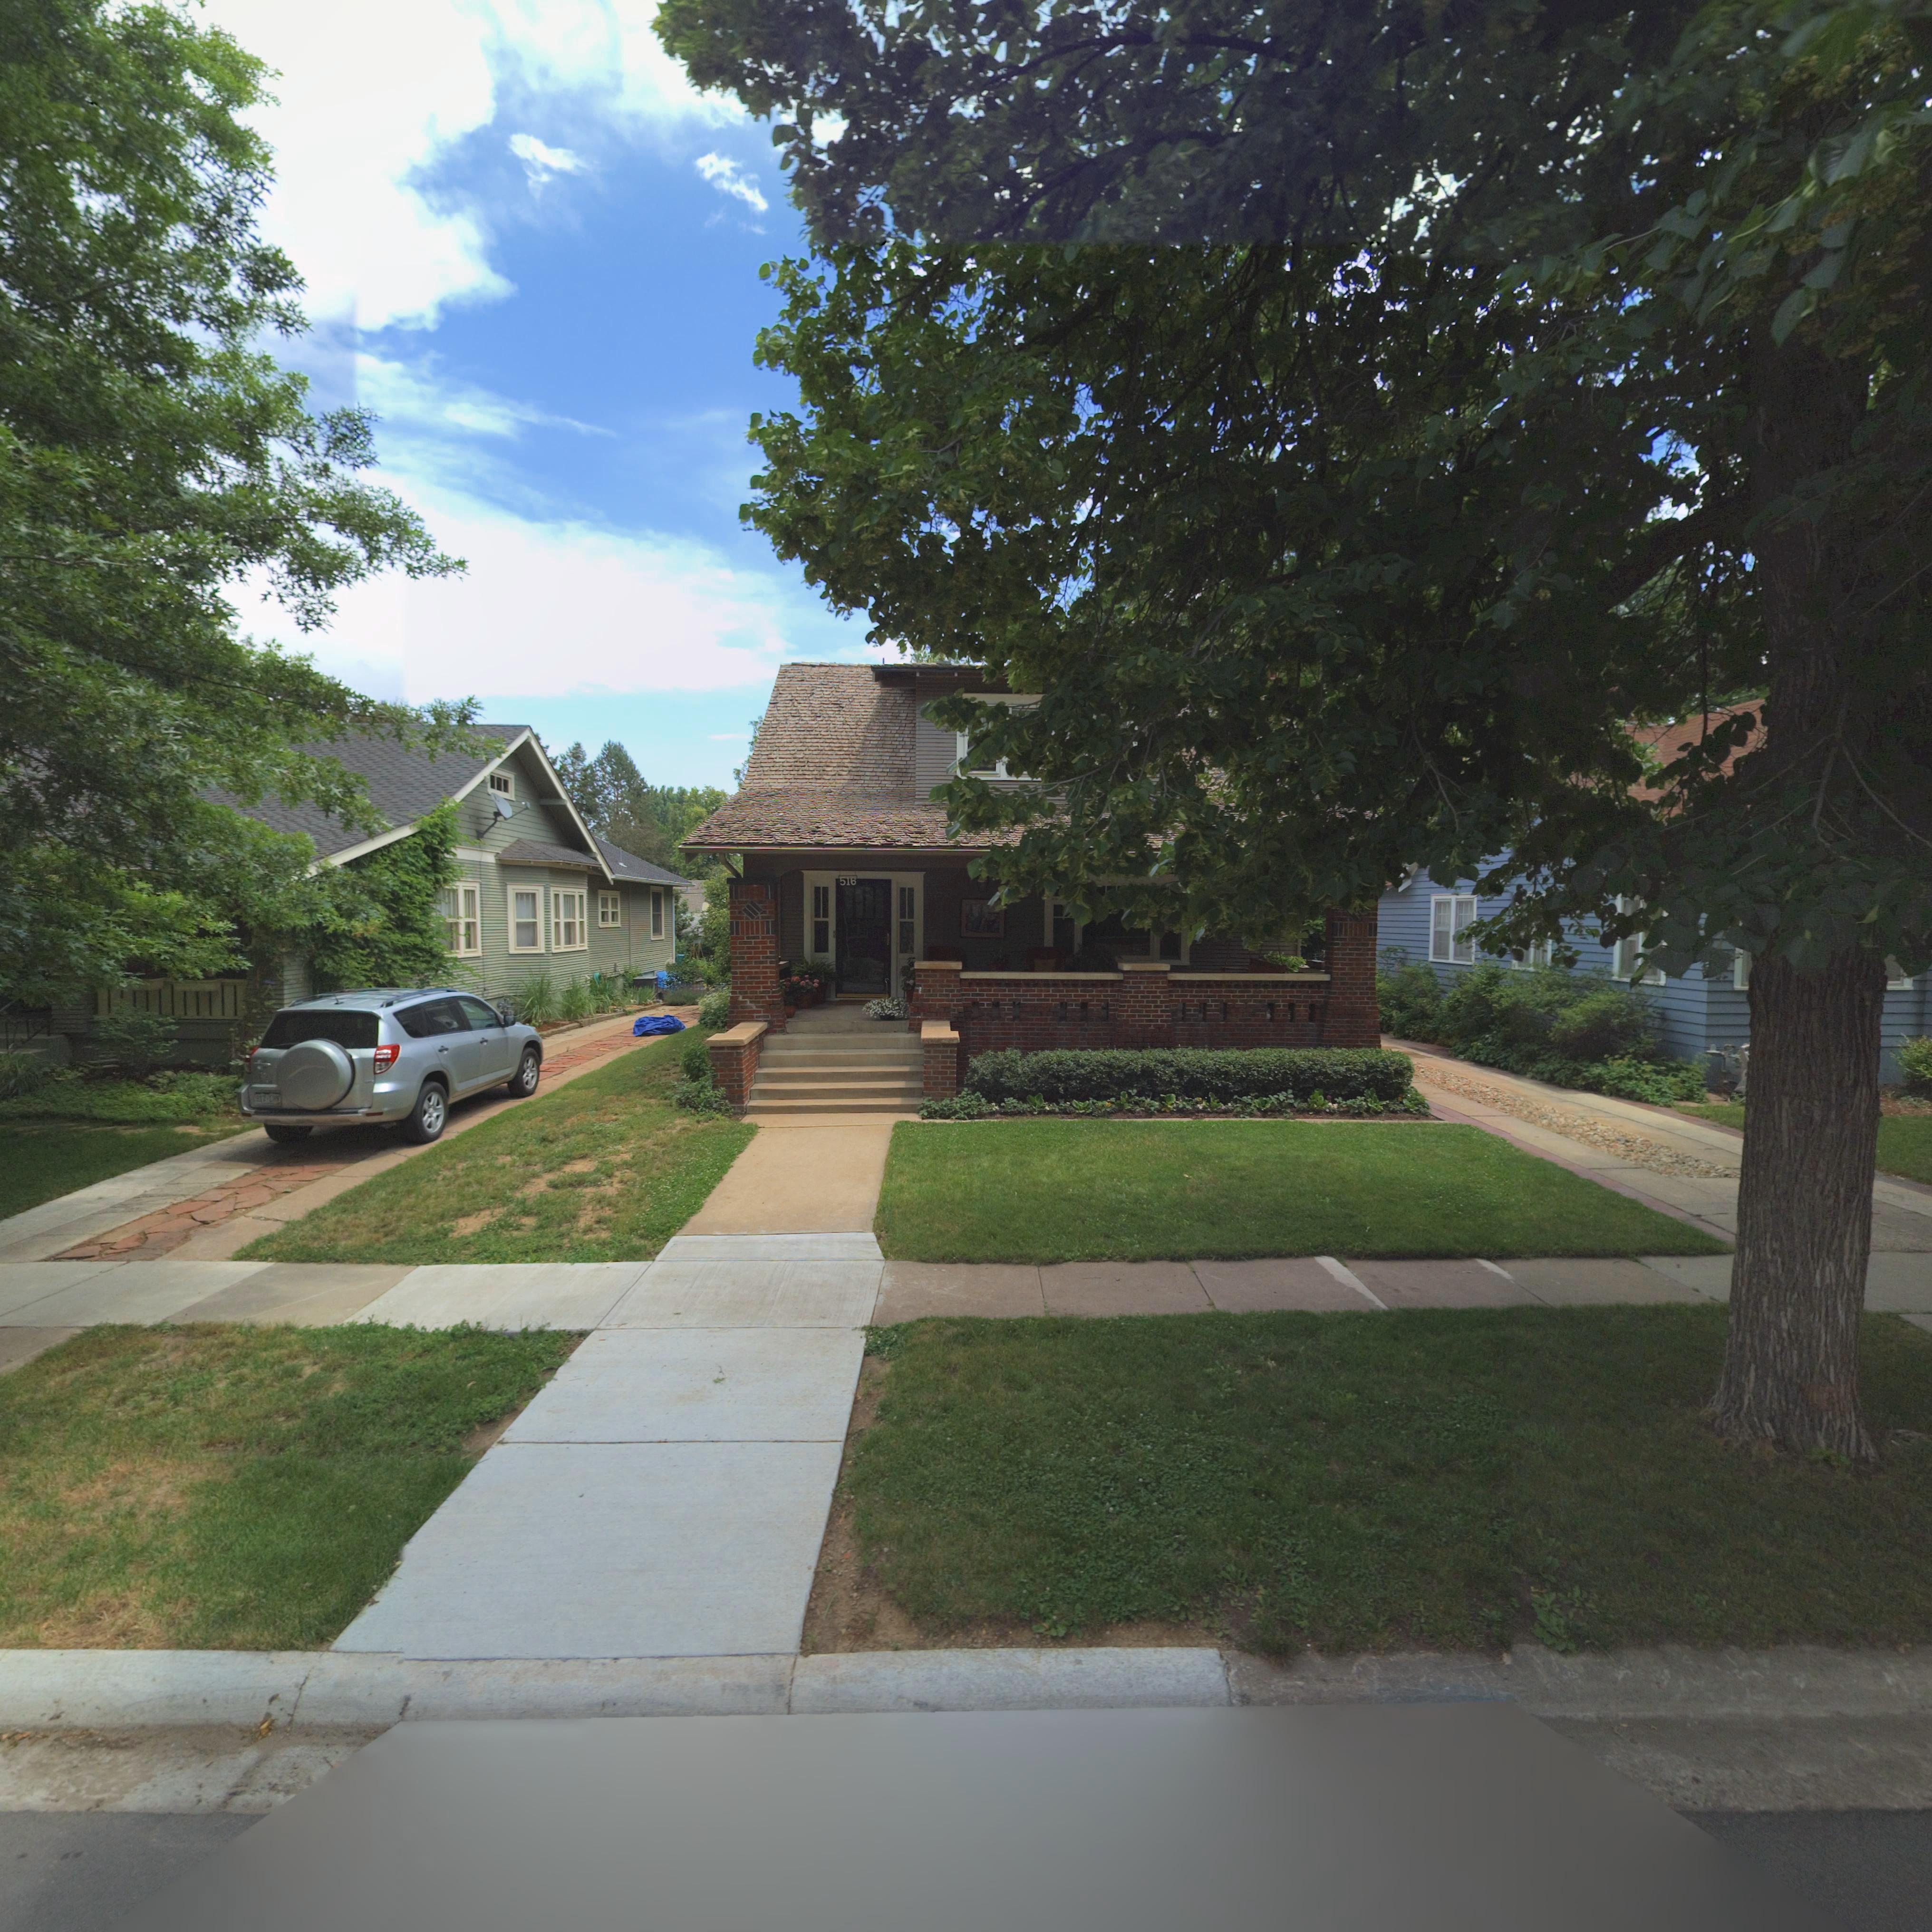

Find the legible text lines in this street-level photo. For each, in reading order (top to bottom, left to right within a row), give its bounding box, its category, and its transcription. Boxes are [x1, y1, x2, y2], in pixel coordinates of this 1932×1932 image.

[839, 876, 857, 886] StreetNumber: 516